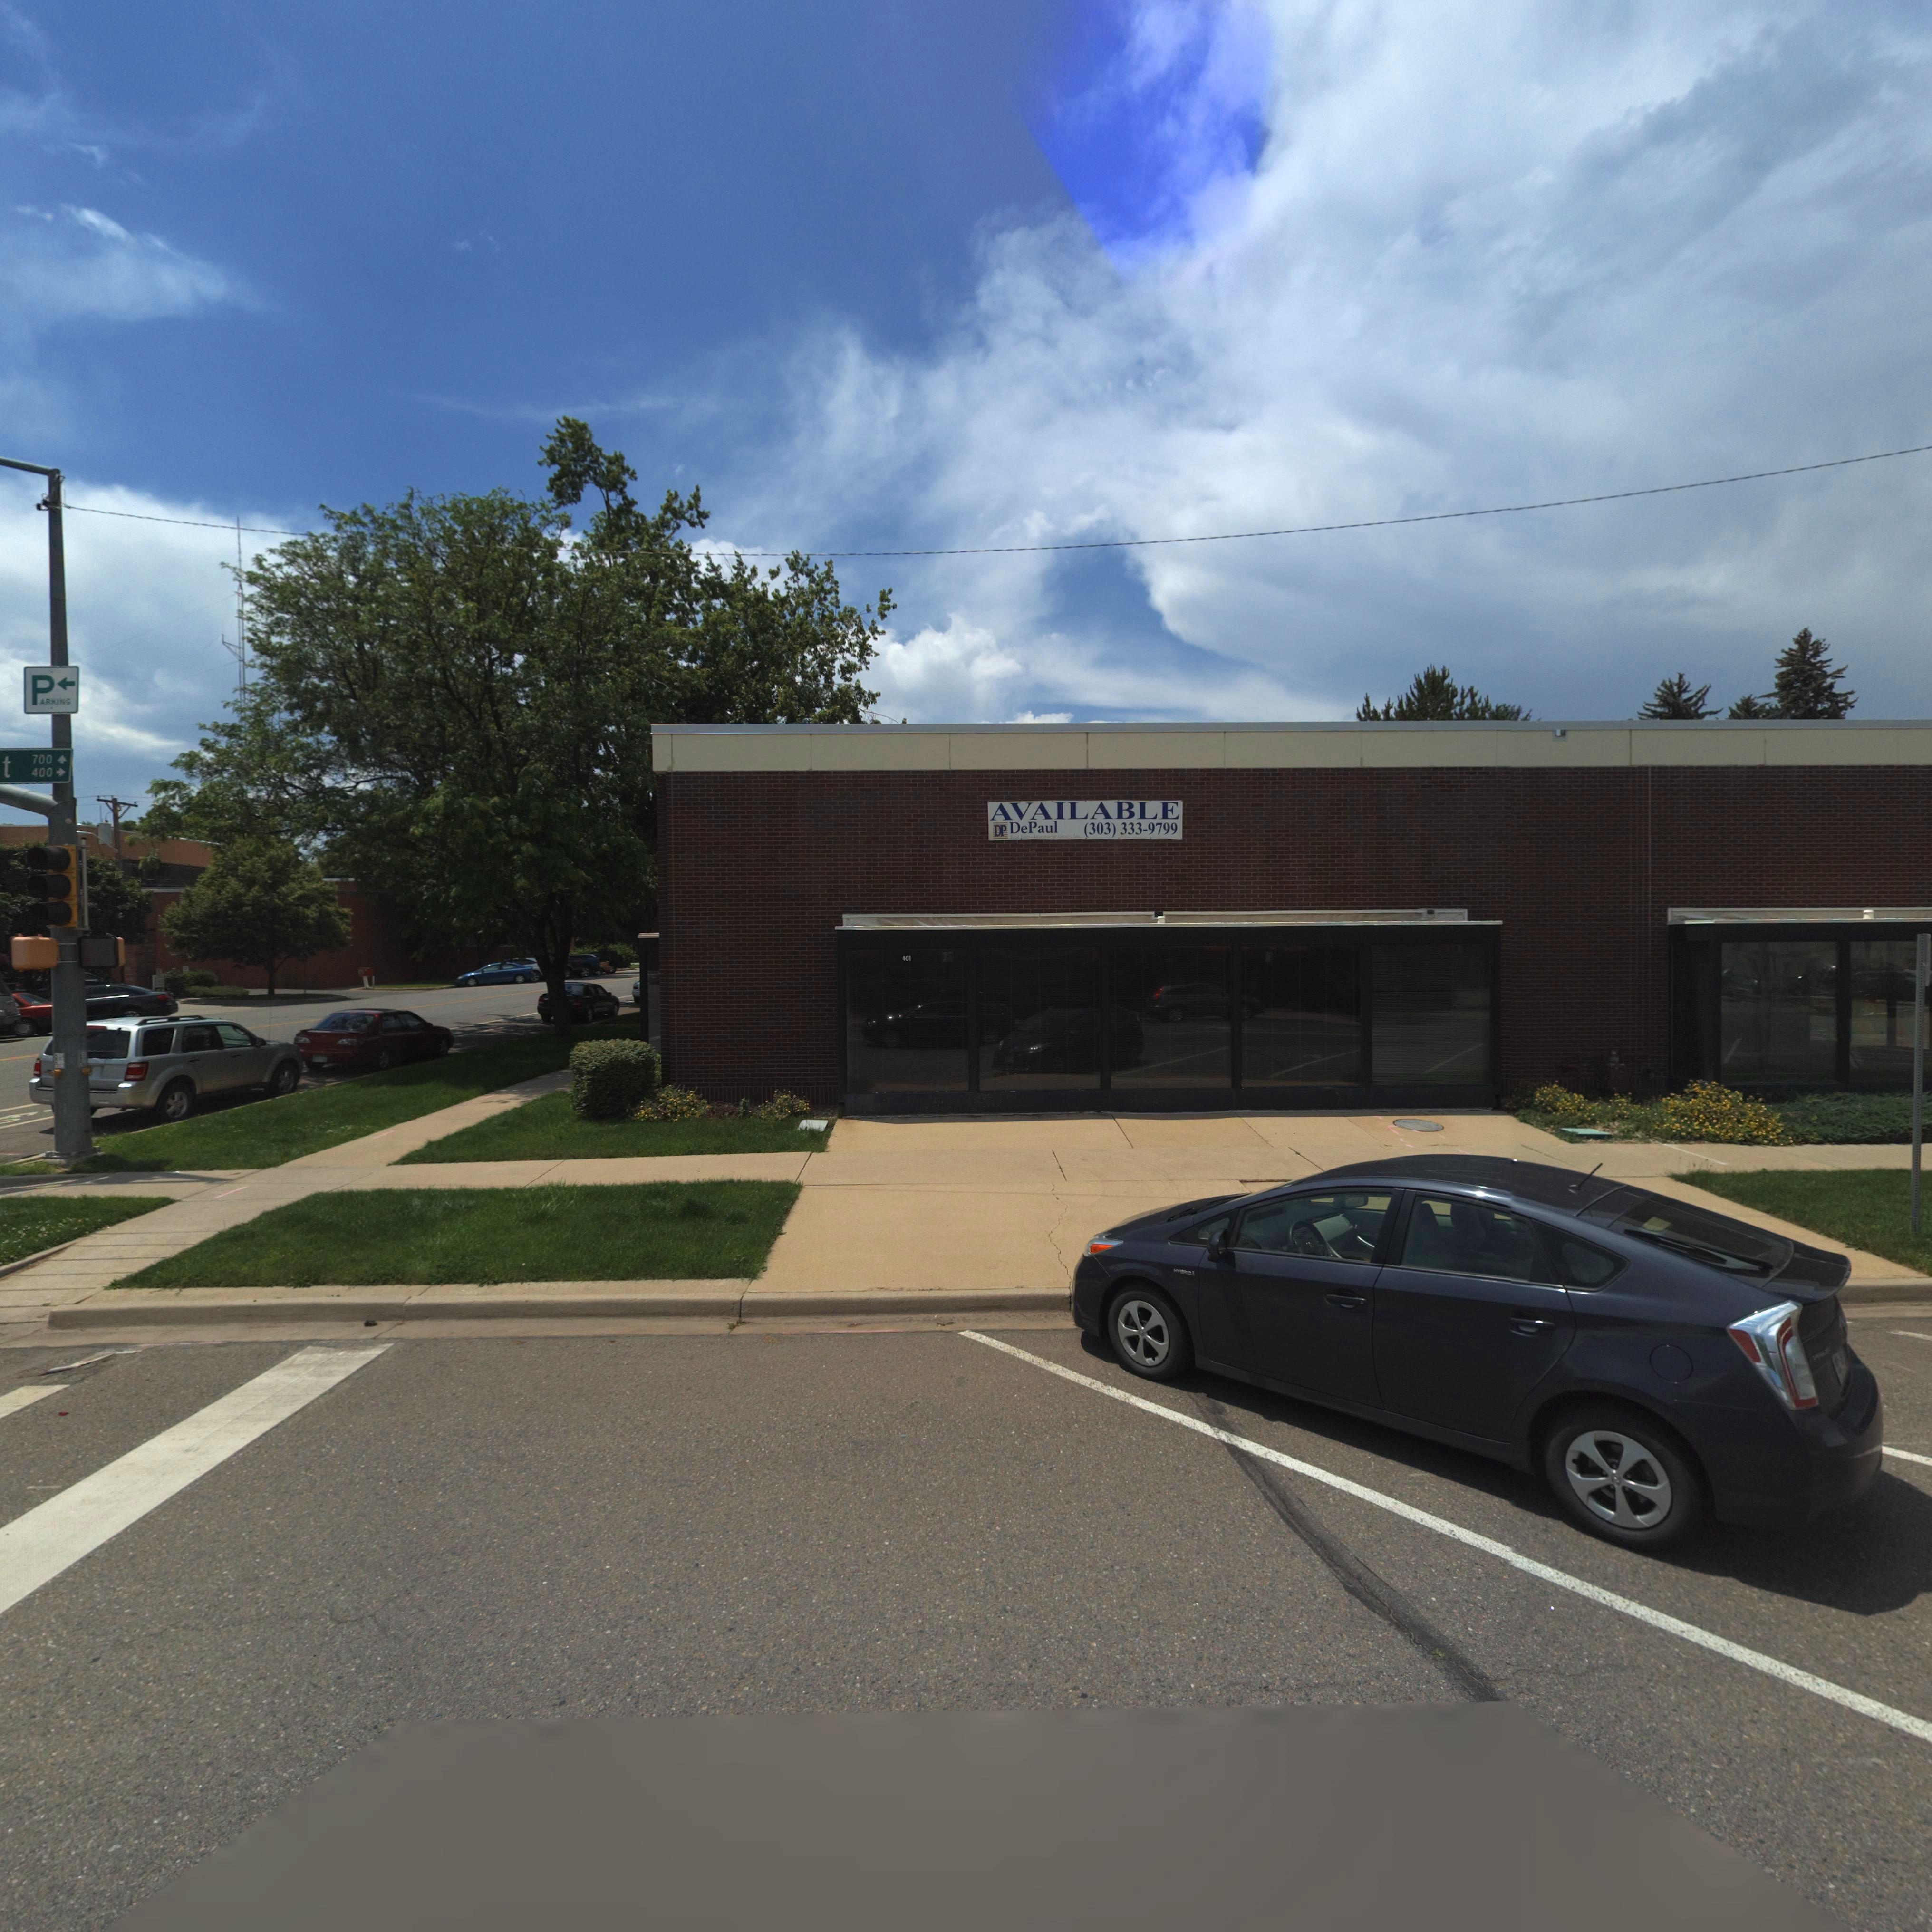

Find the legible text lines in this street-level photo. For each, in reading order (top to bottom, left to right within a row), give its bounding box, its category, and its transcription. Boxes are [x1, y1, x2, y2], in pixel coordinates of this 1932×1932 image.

[31, 754, 53, 764] StreetNumberRange: 700
[2, 755, 11, 779] StreetName: t
[30, 767, 66, 777] StreetNumberRange: 400->
[902, 955, 911, 961] StreetNumber: 401